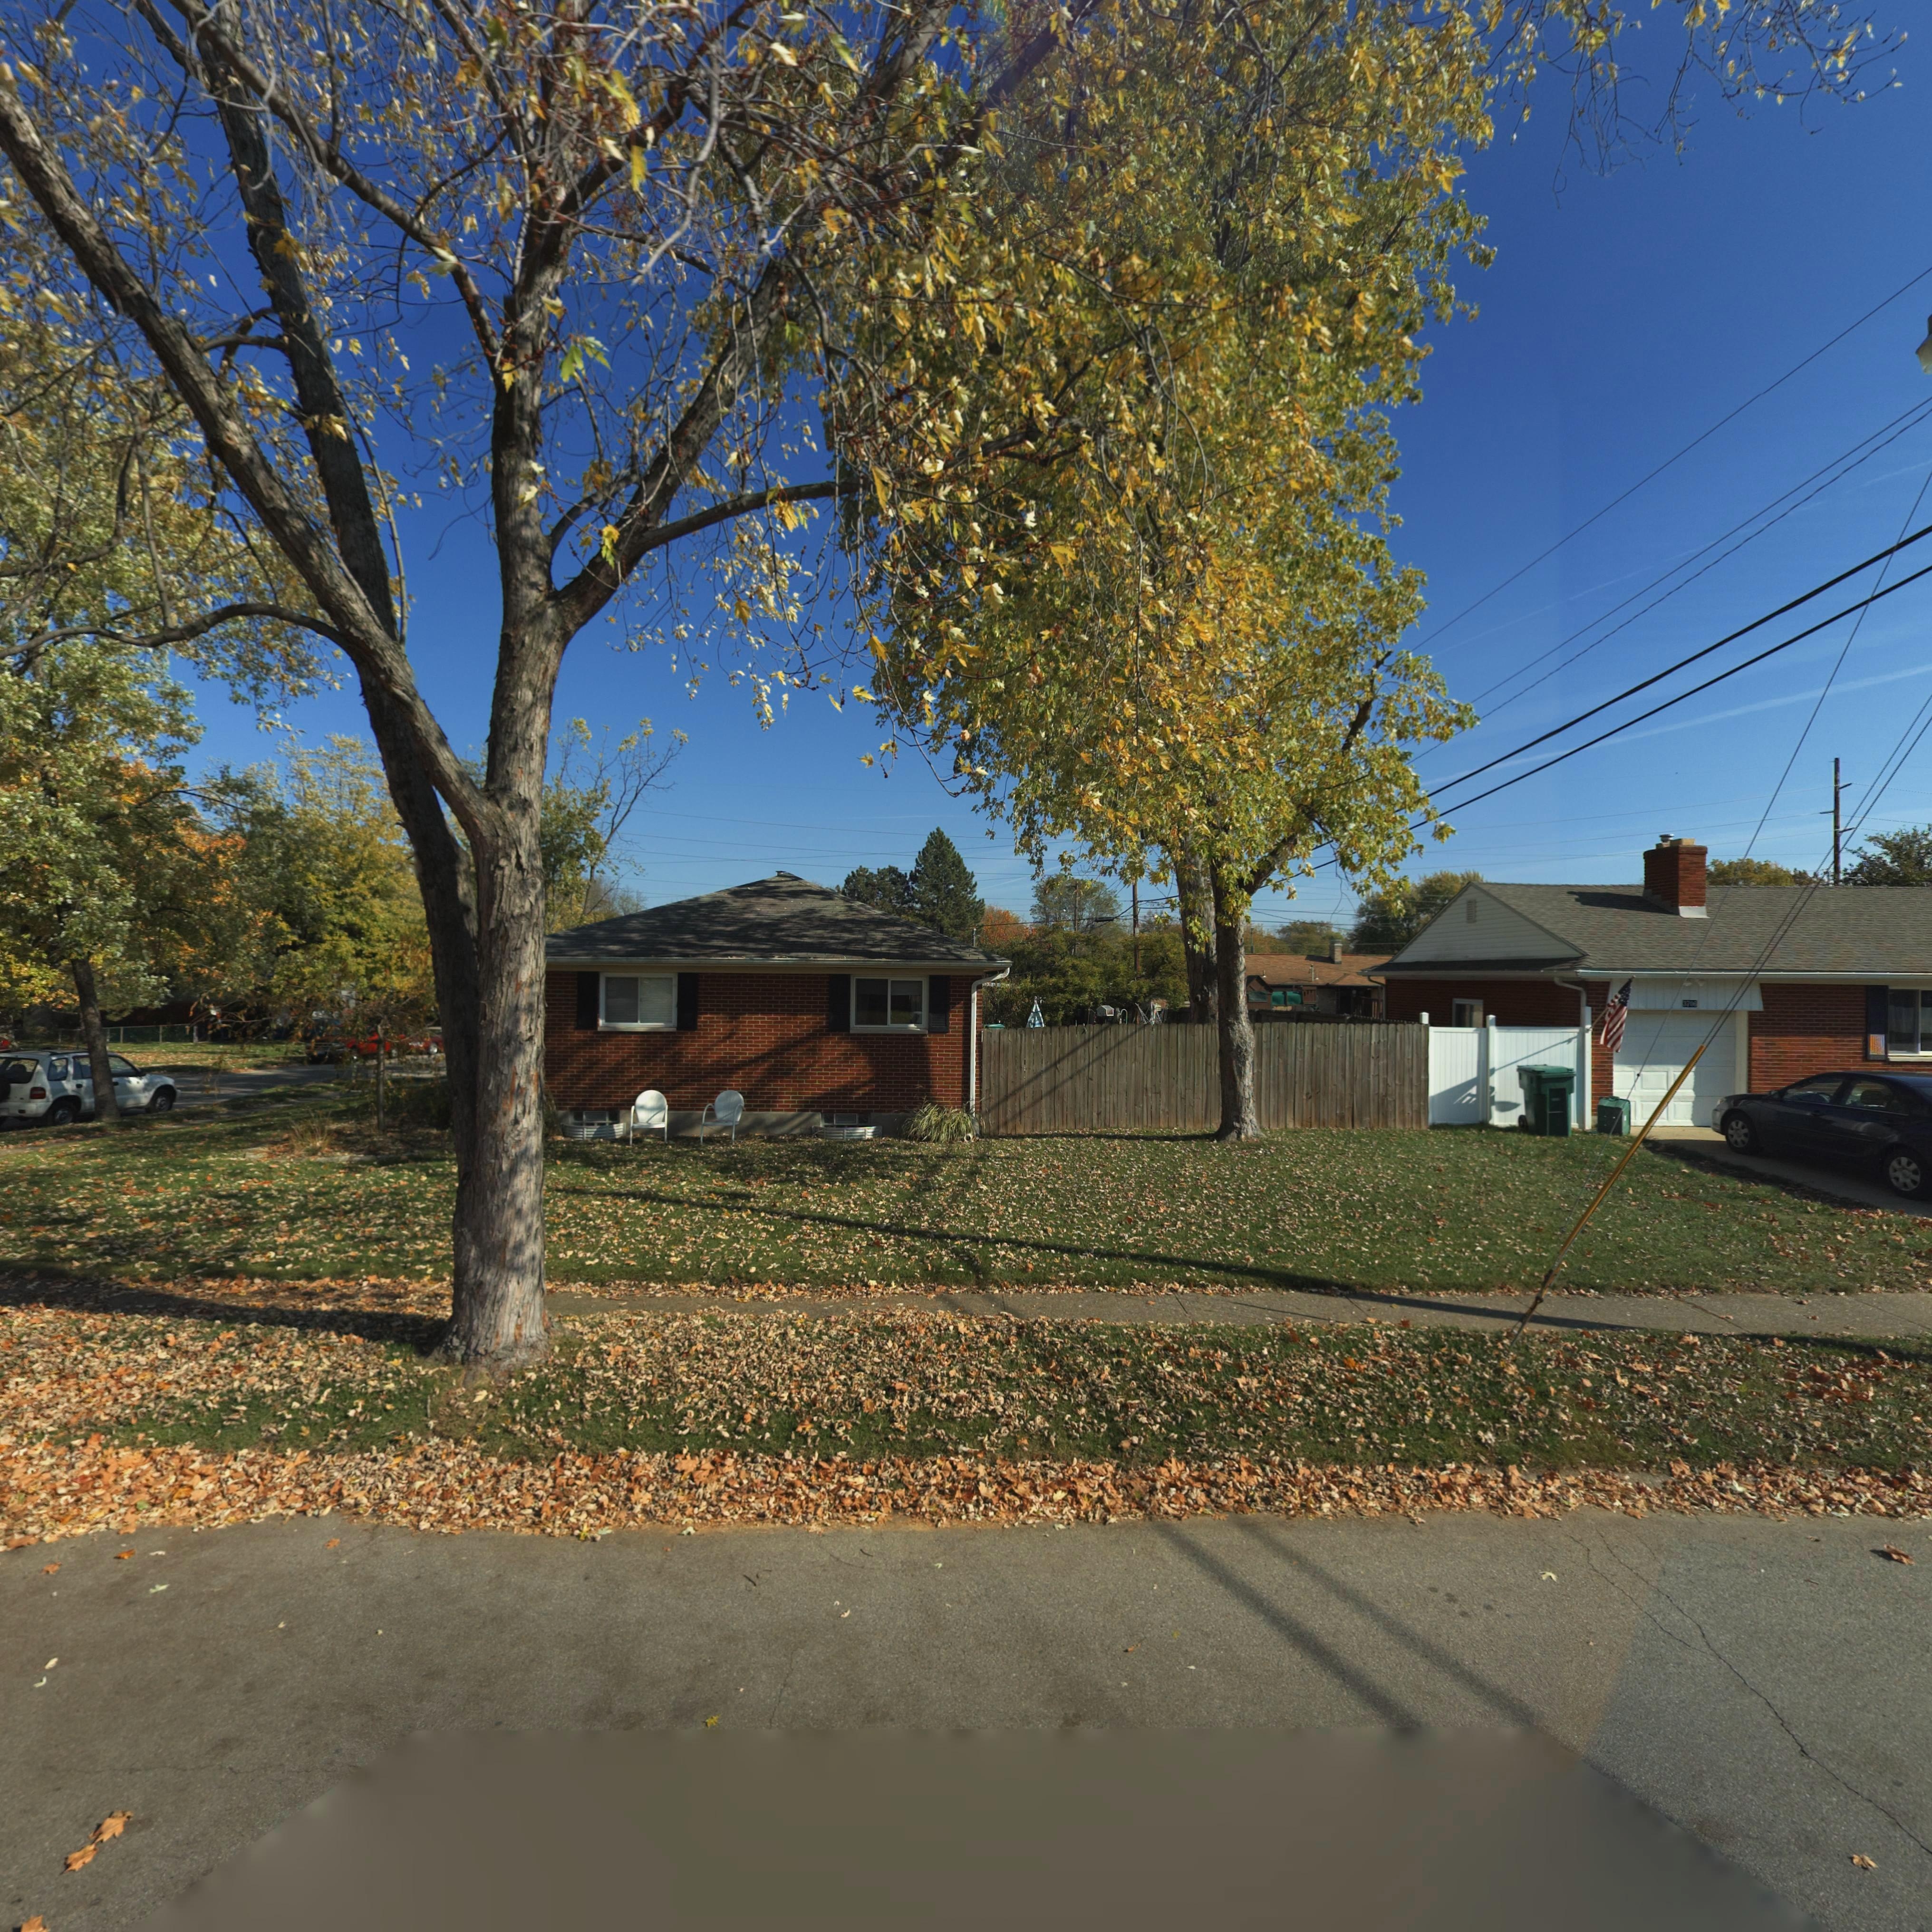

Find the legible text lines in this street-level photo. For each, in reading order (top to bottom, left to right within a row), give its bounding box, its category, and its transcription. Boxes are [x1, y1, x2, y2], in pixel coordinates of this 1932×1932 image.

[1682, 999, 1698, 1008] StreetNumber: 370*